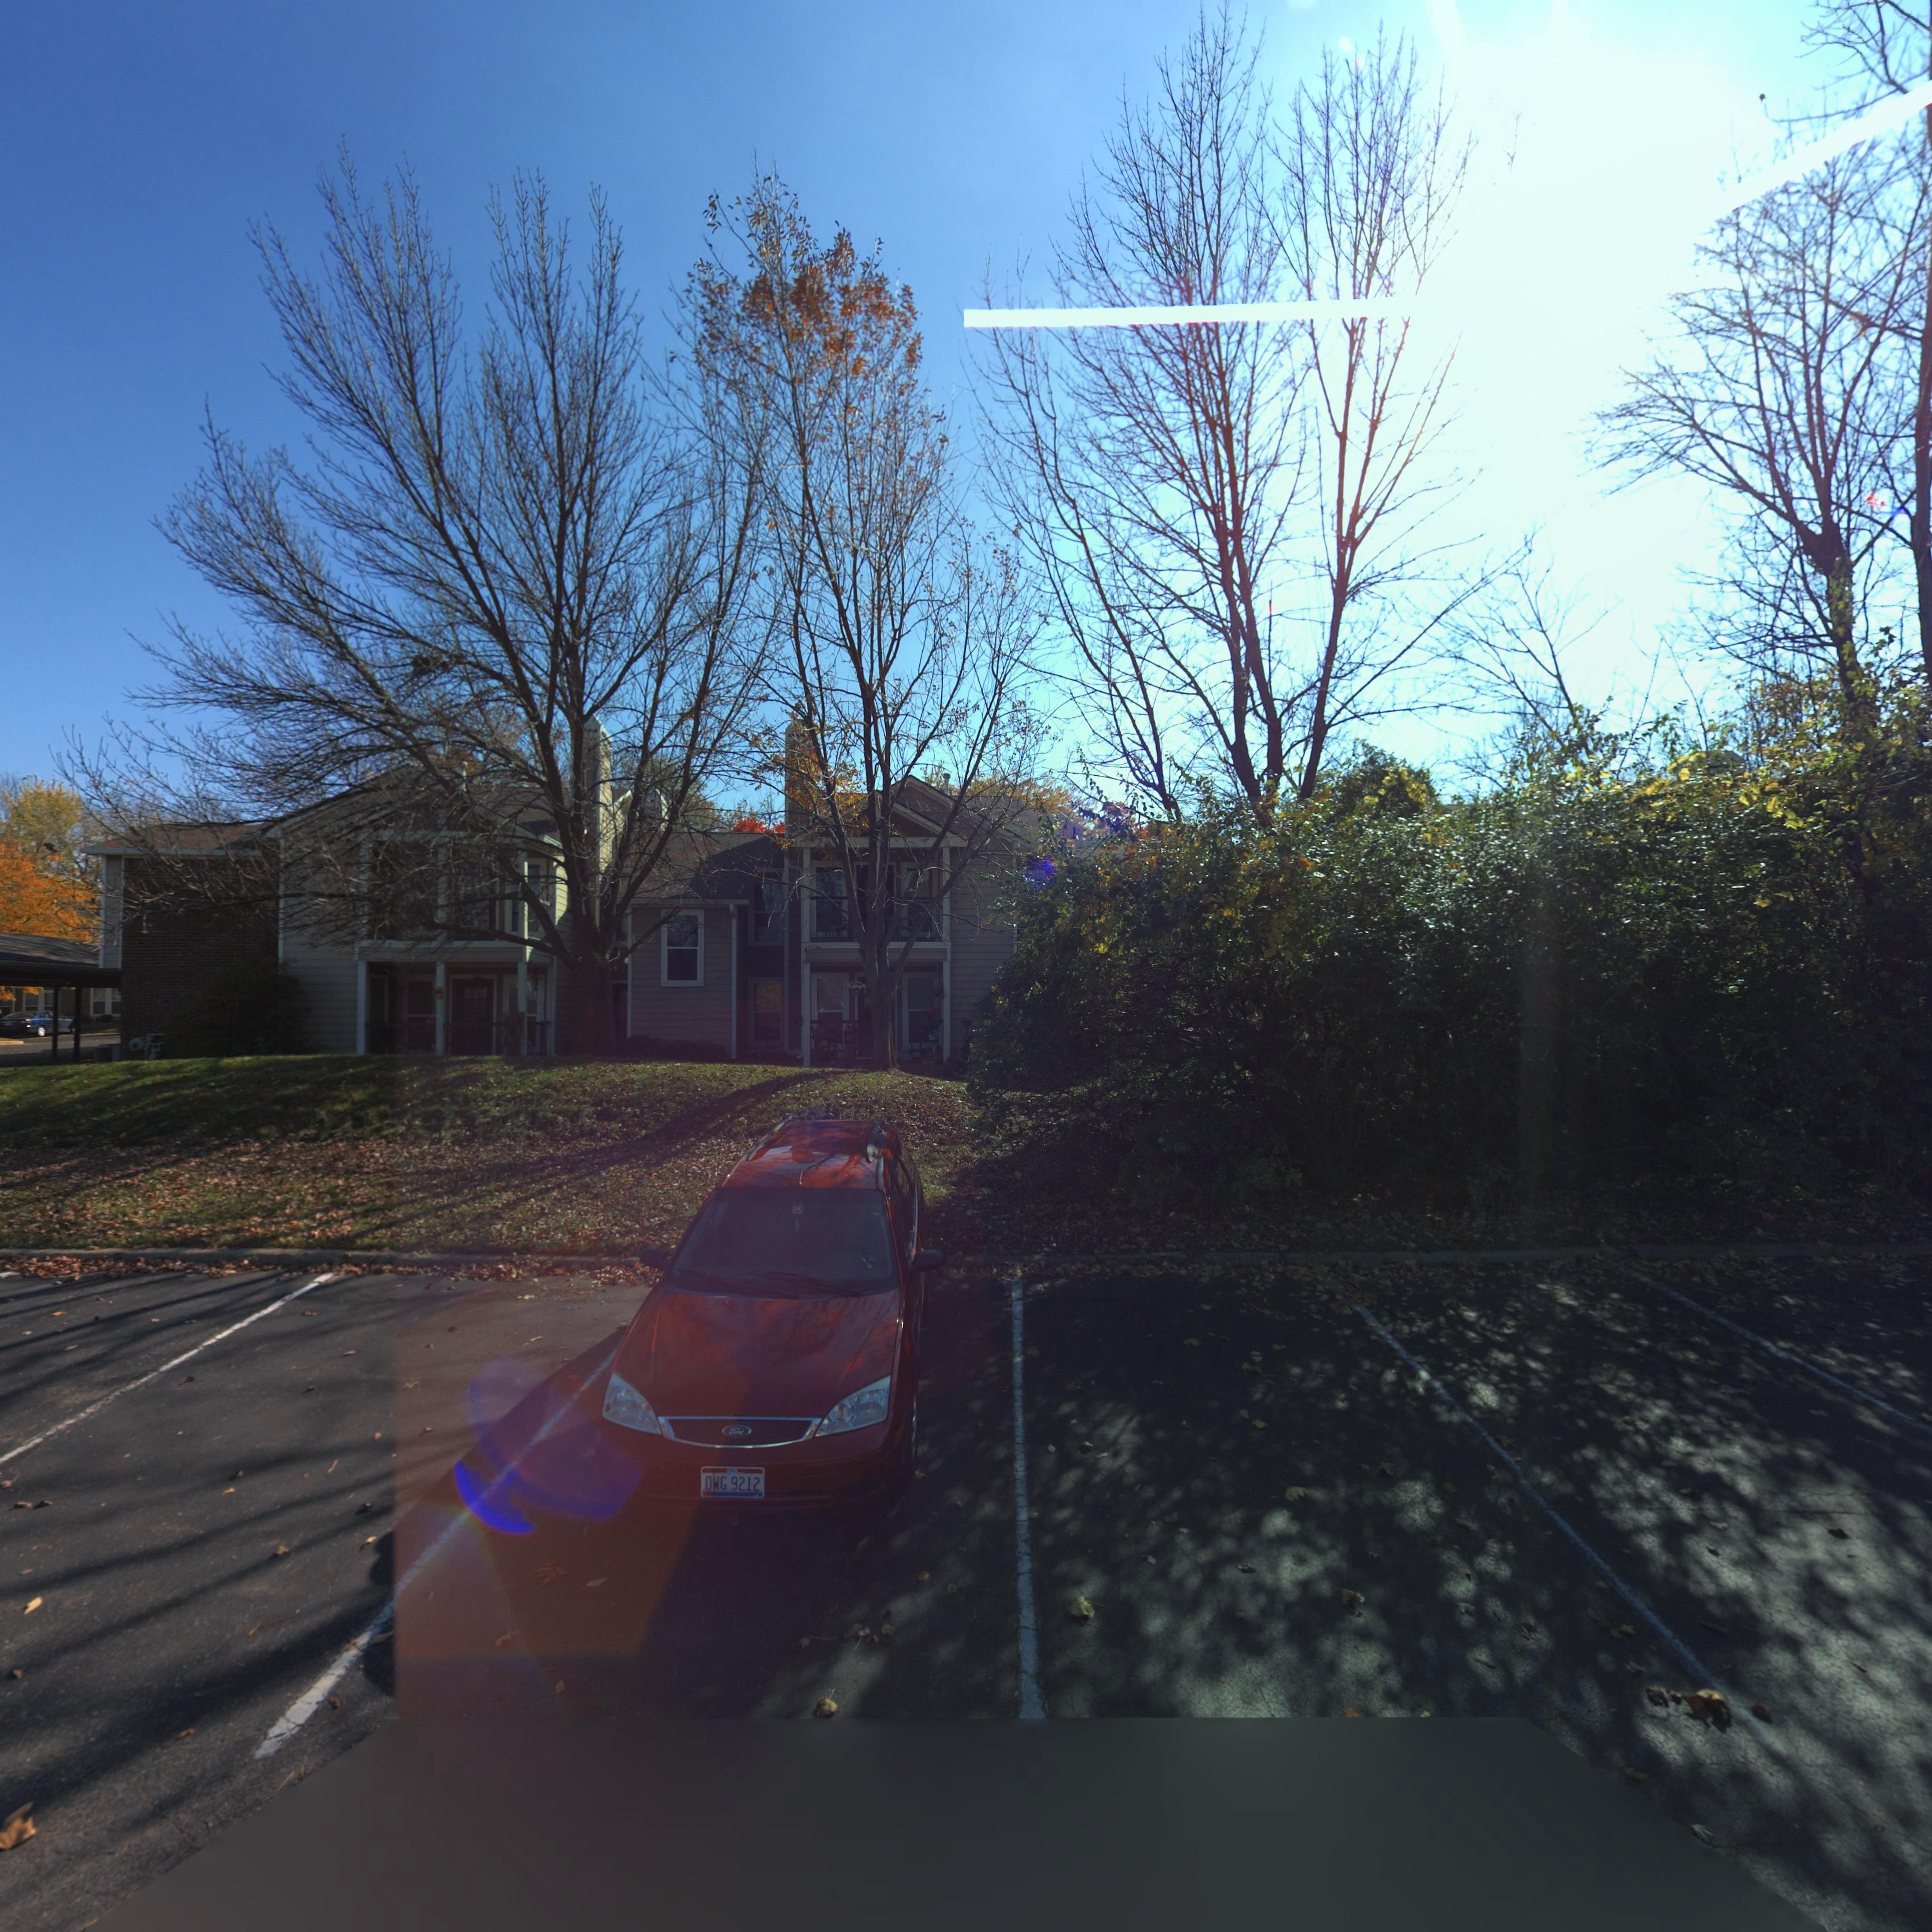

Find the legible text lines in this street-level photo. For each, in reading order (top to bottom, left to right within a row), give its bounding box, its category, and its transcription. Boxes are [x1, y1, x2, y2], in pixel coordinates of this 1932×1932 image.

[704, 1475, 761, 1491] None: DWG 9212